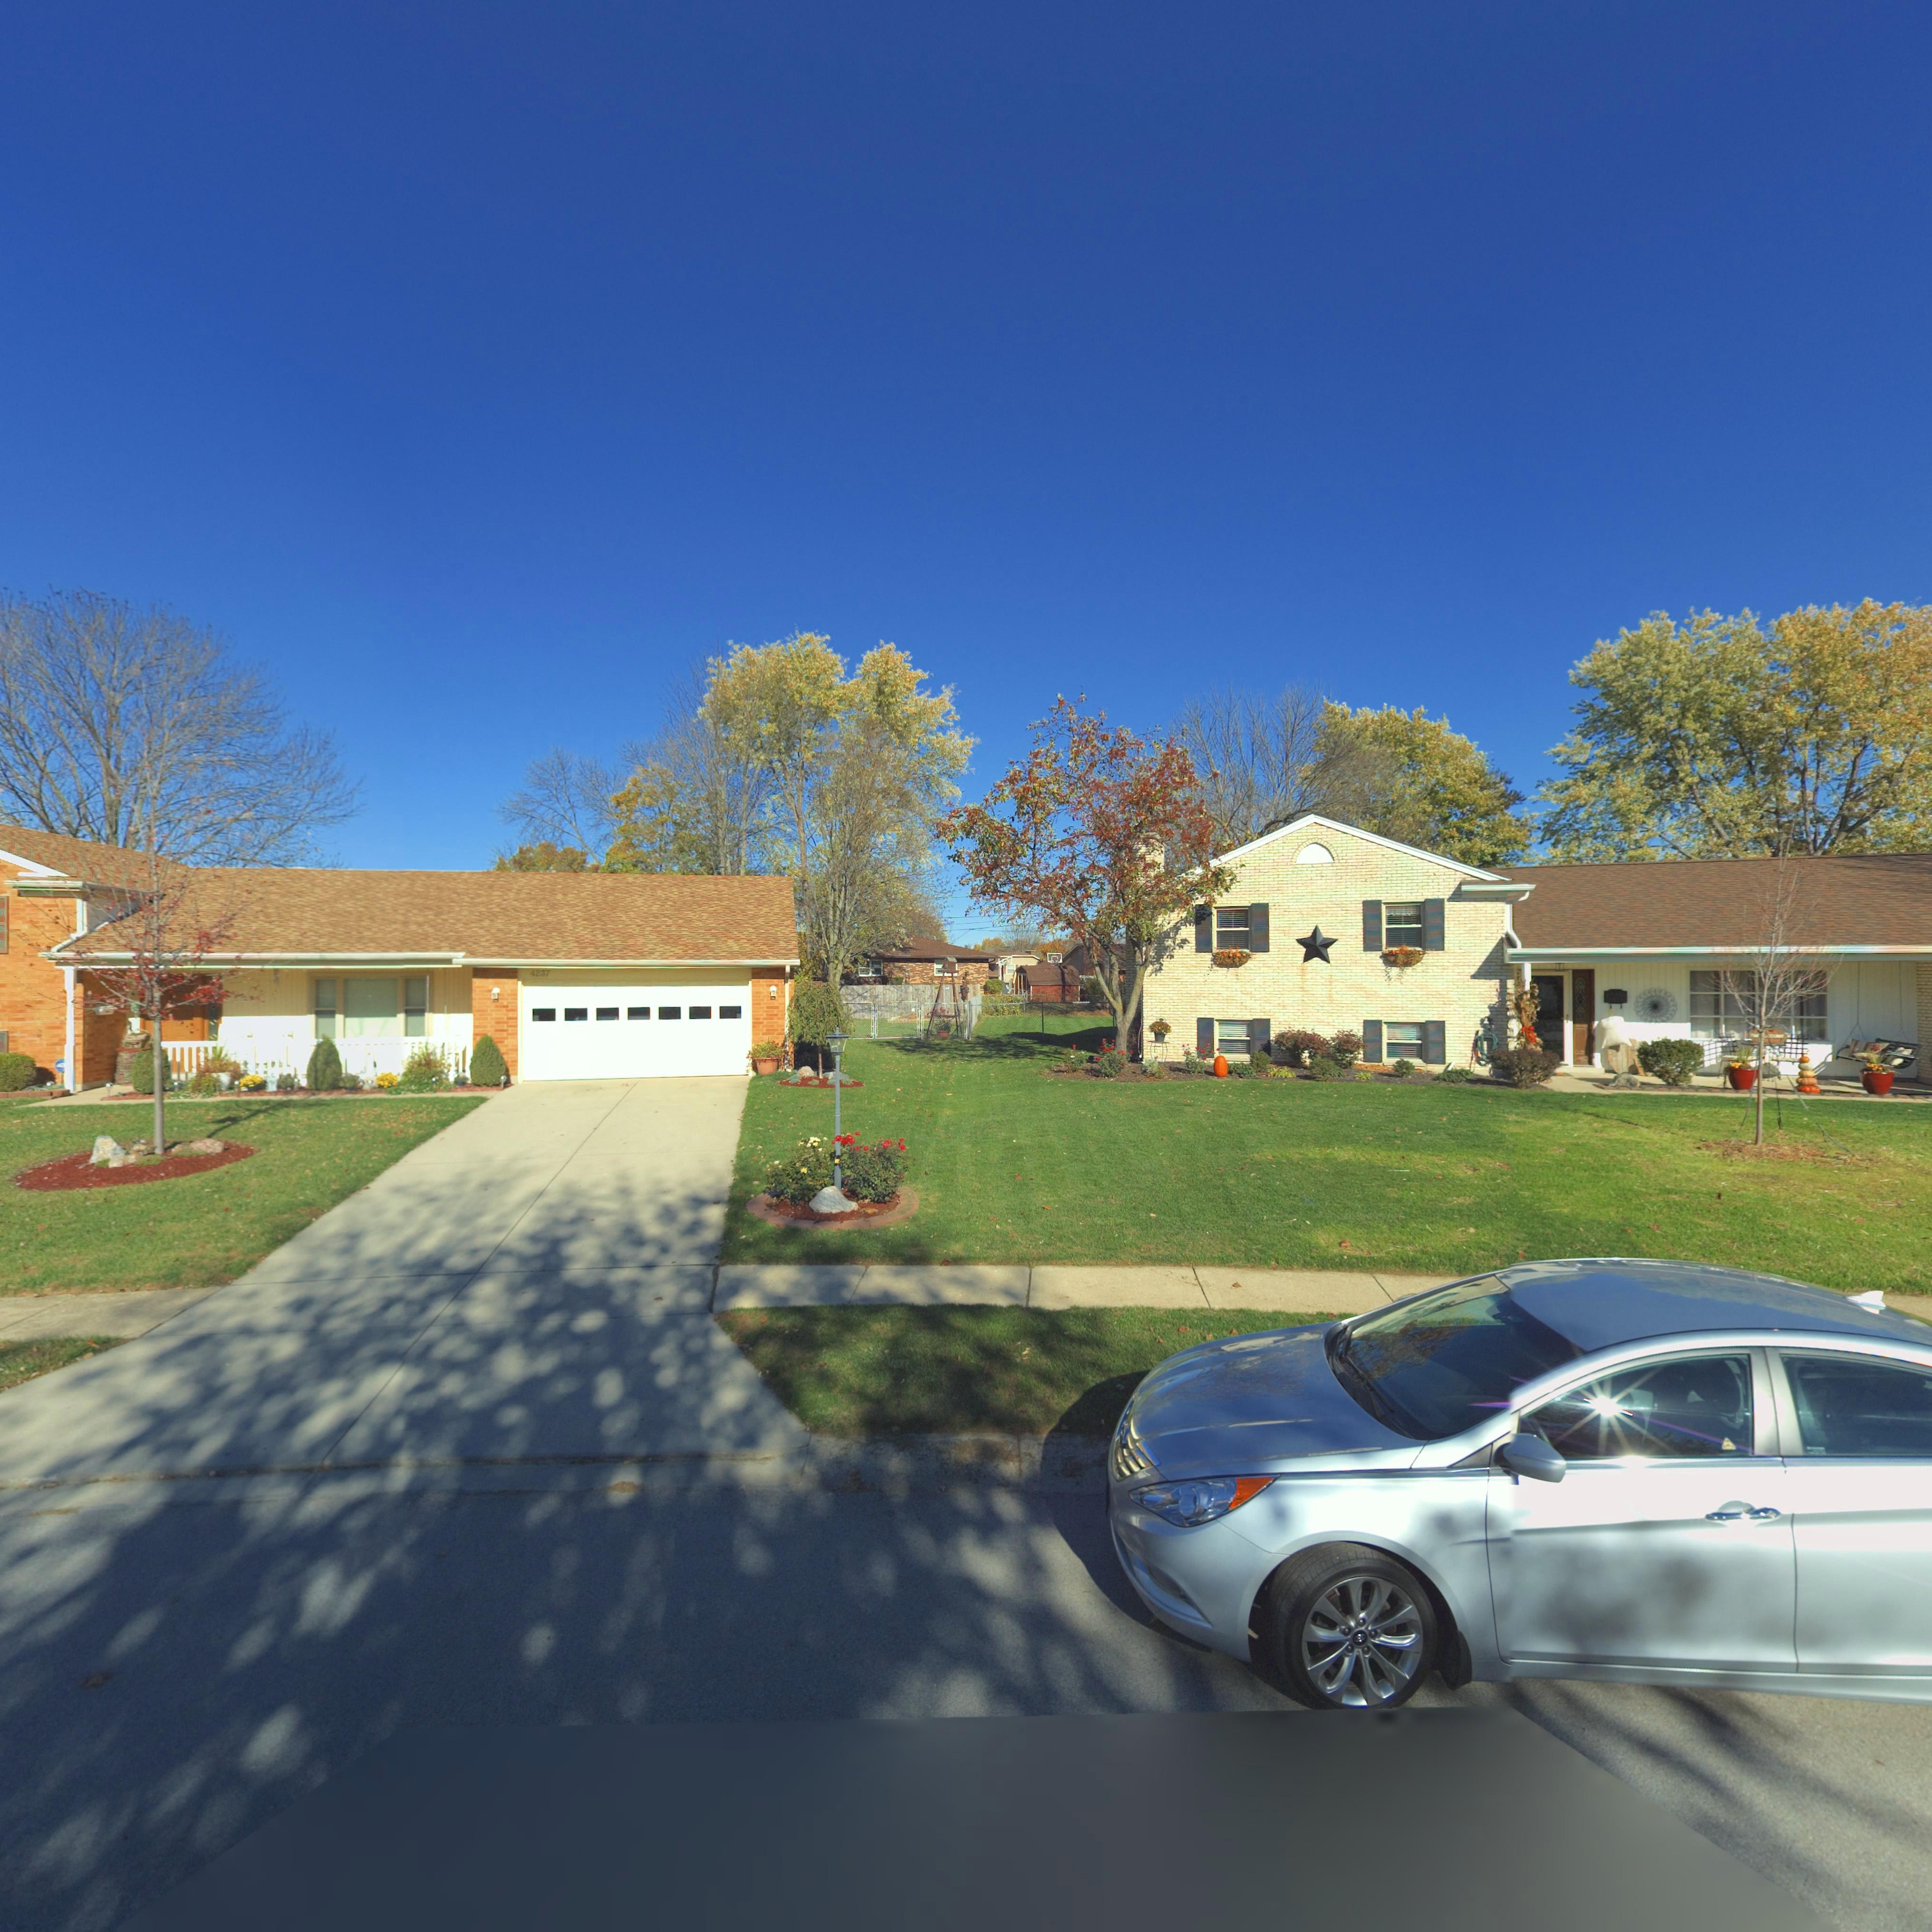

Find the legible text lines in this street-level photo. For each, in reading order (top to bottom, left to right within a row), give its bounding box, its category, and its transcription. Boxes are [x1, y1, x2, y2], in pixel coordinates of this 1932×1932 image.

[529, 969, 552, 978] StreetNumber: 4237